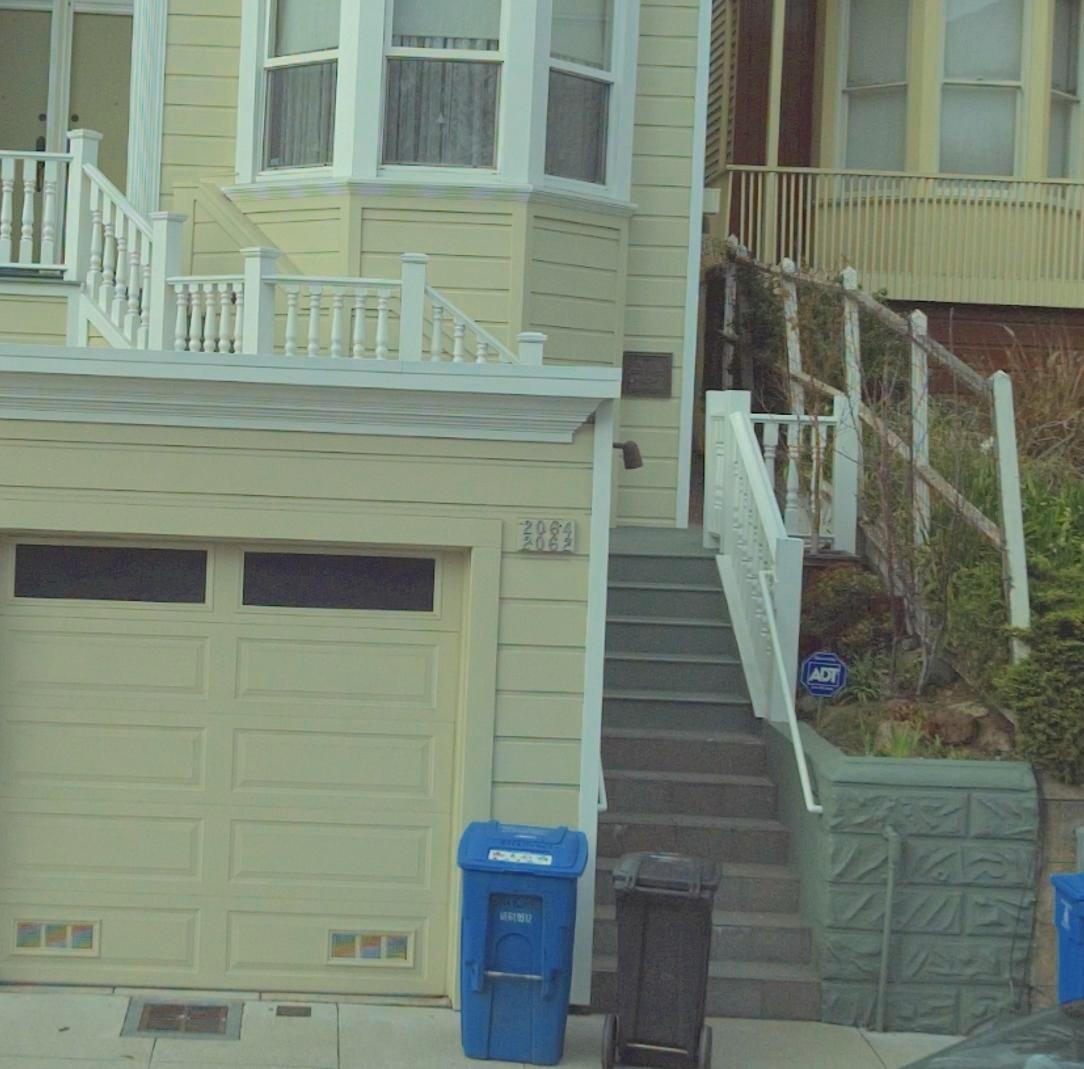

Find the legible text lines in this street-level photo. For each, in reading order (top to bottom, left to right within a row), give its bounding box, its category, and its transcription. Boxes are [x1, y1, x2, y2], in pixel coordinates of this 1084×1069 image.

[519, 518, 575, 537] StreetNumber: 2064
[519, 534, 574, 554] StreetNumber: 2062
[804, 664, 842, 686] None: ADT